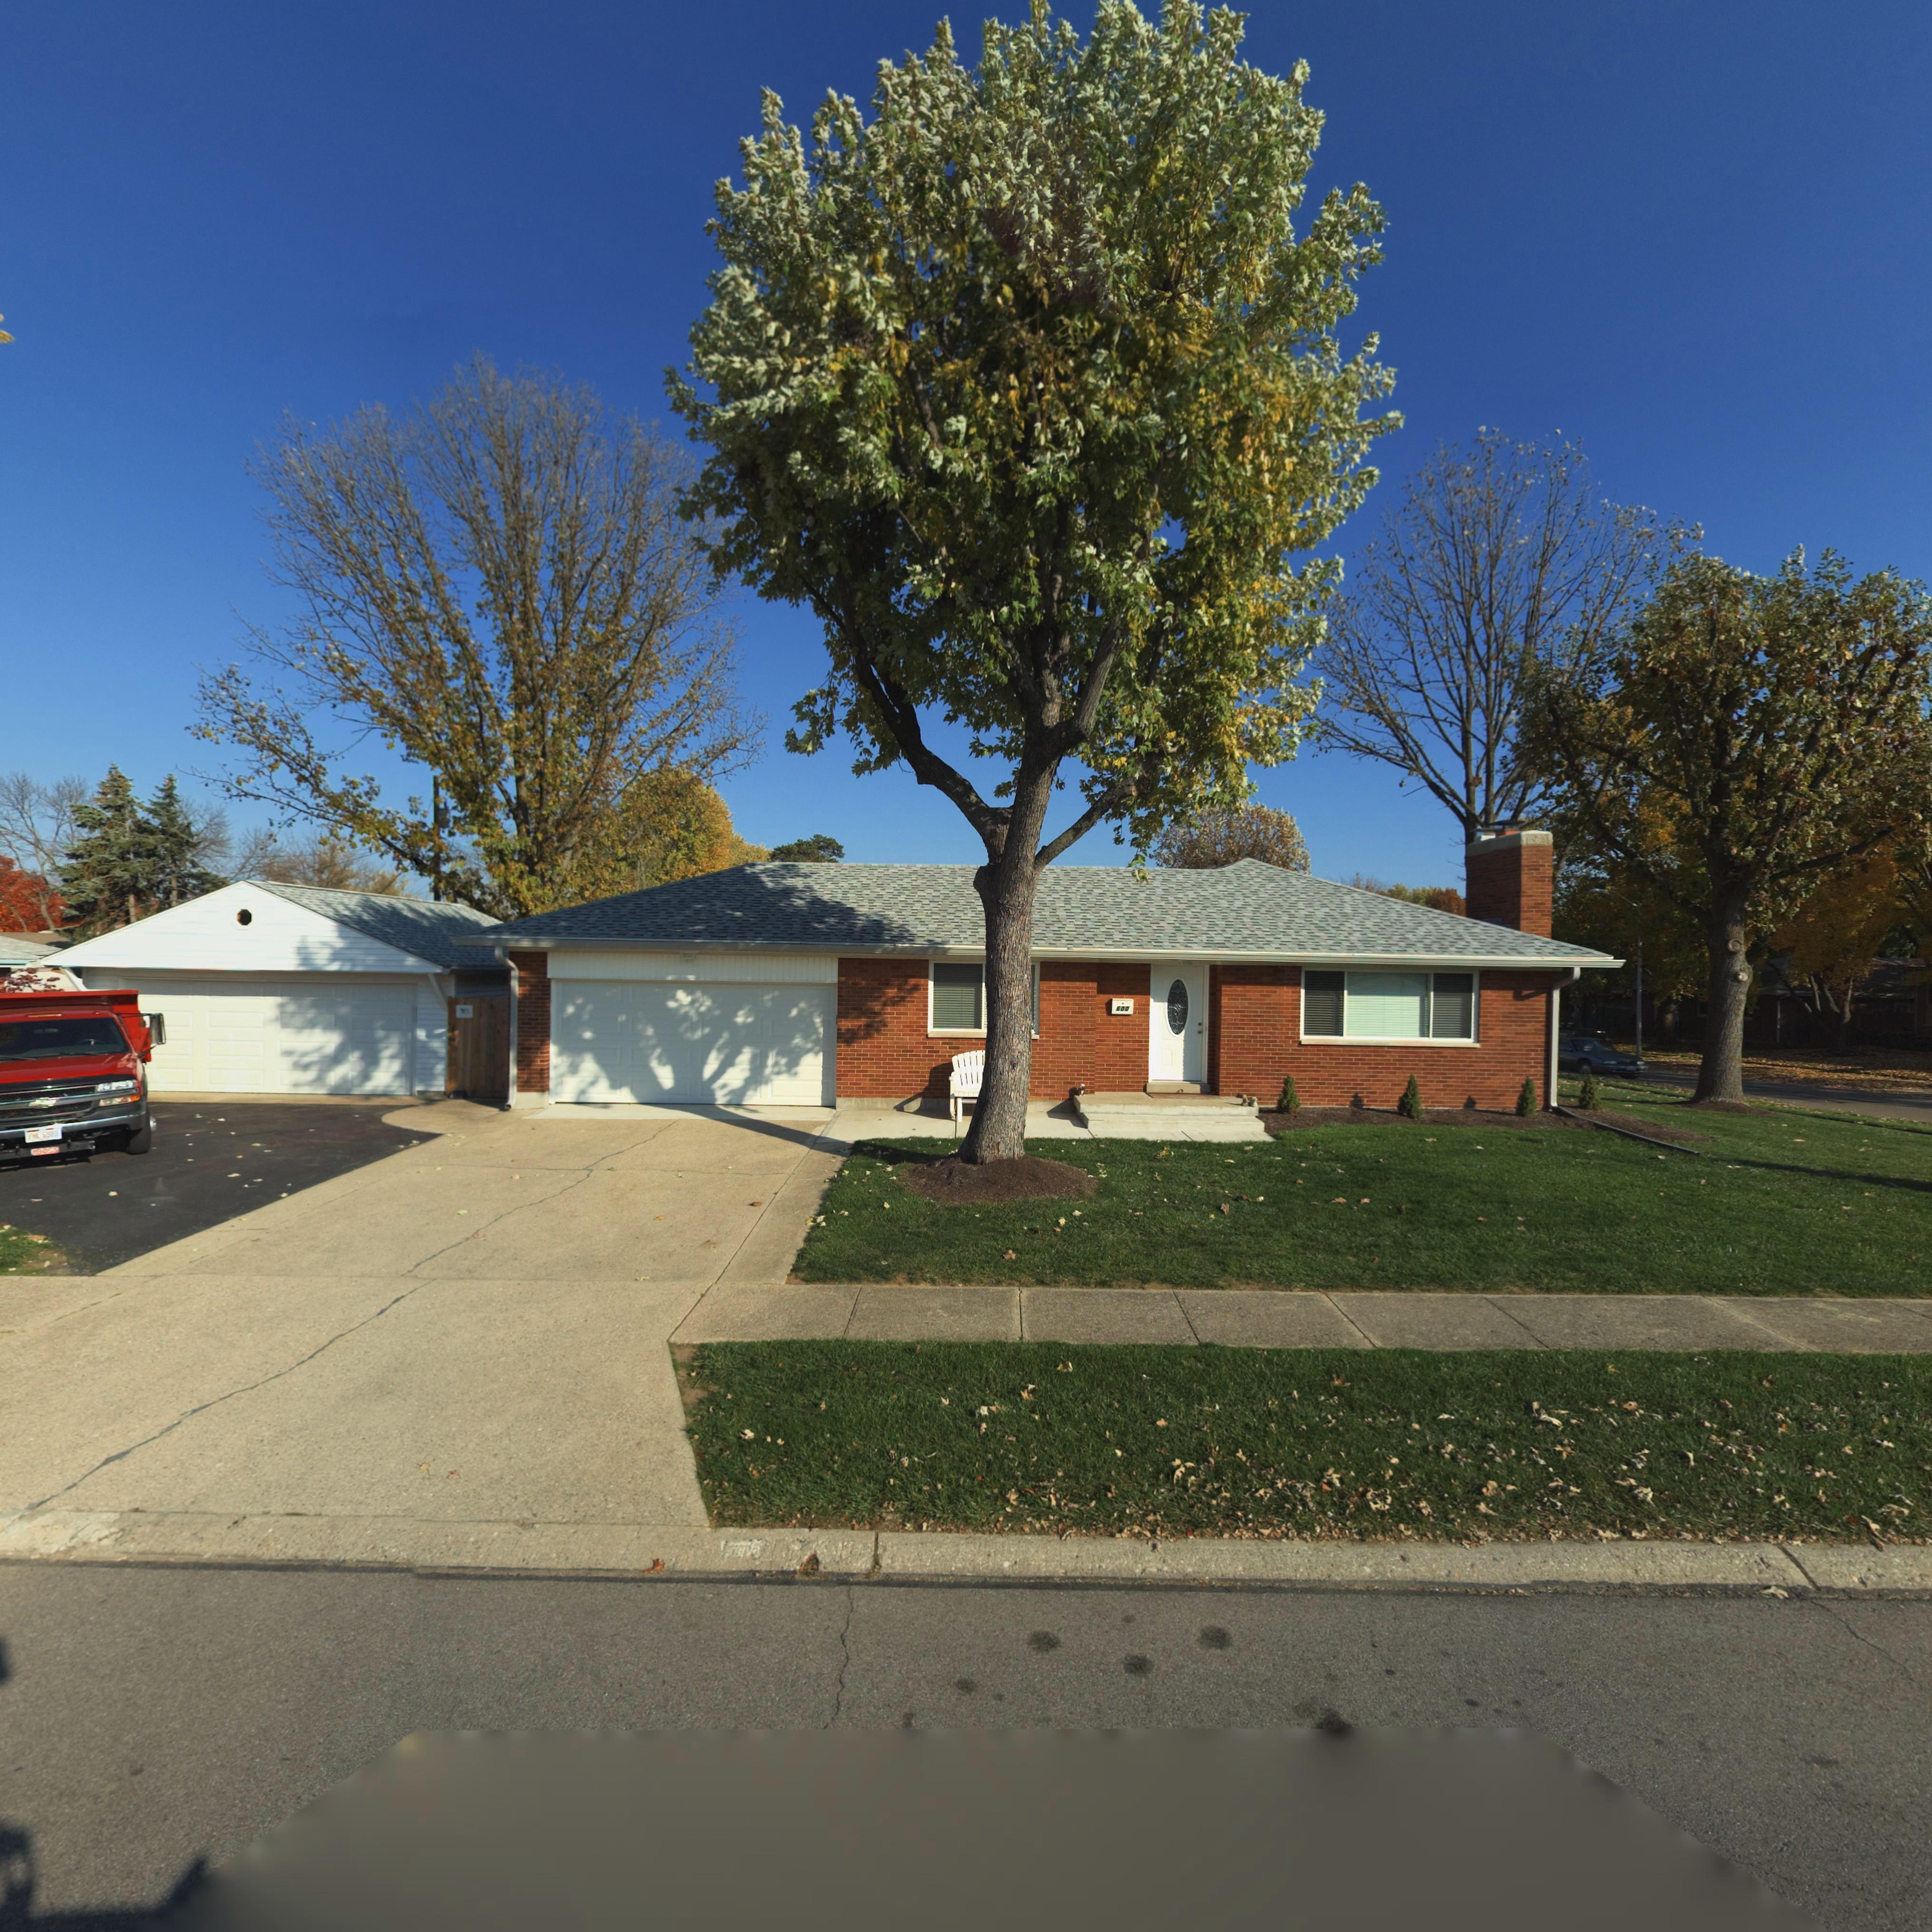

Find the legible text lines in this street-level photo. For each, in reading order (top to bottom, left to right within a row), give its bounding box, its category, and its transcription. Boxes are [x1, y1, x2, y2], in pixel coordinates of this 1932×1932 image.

[1115, 1006, 1130, 1011] StreetNumber: 600